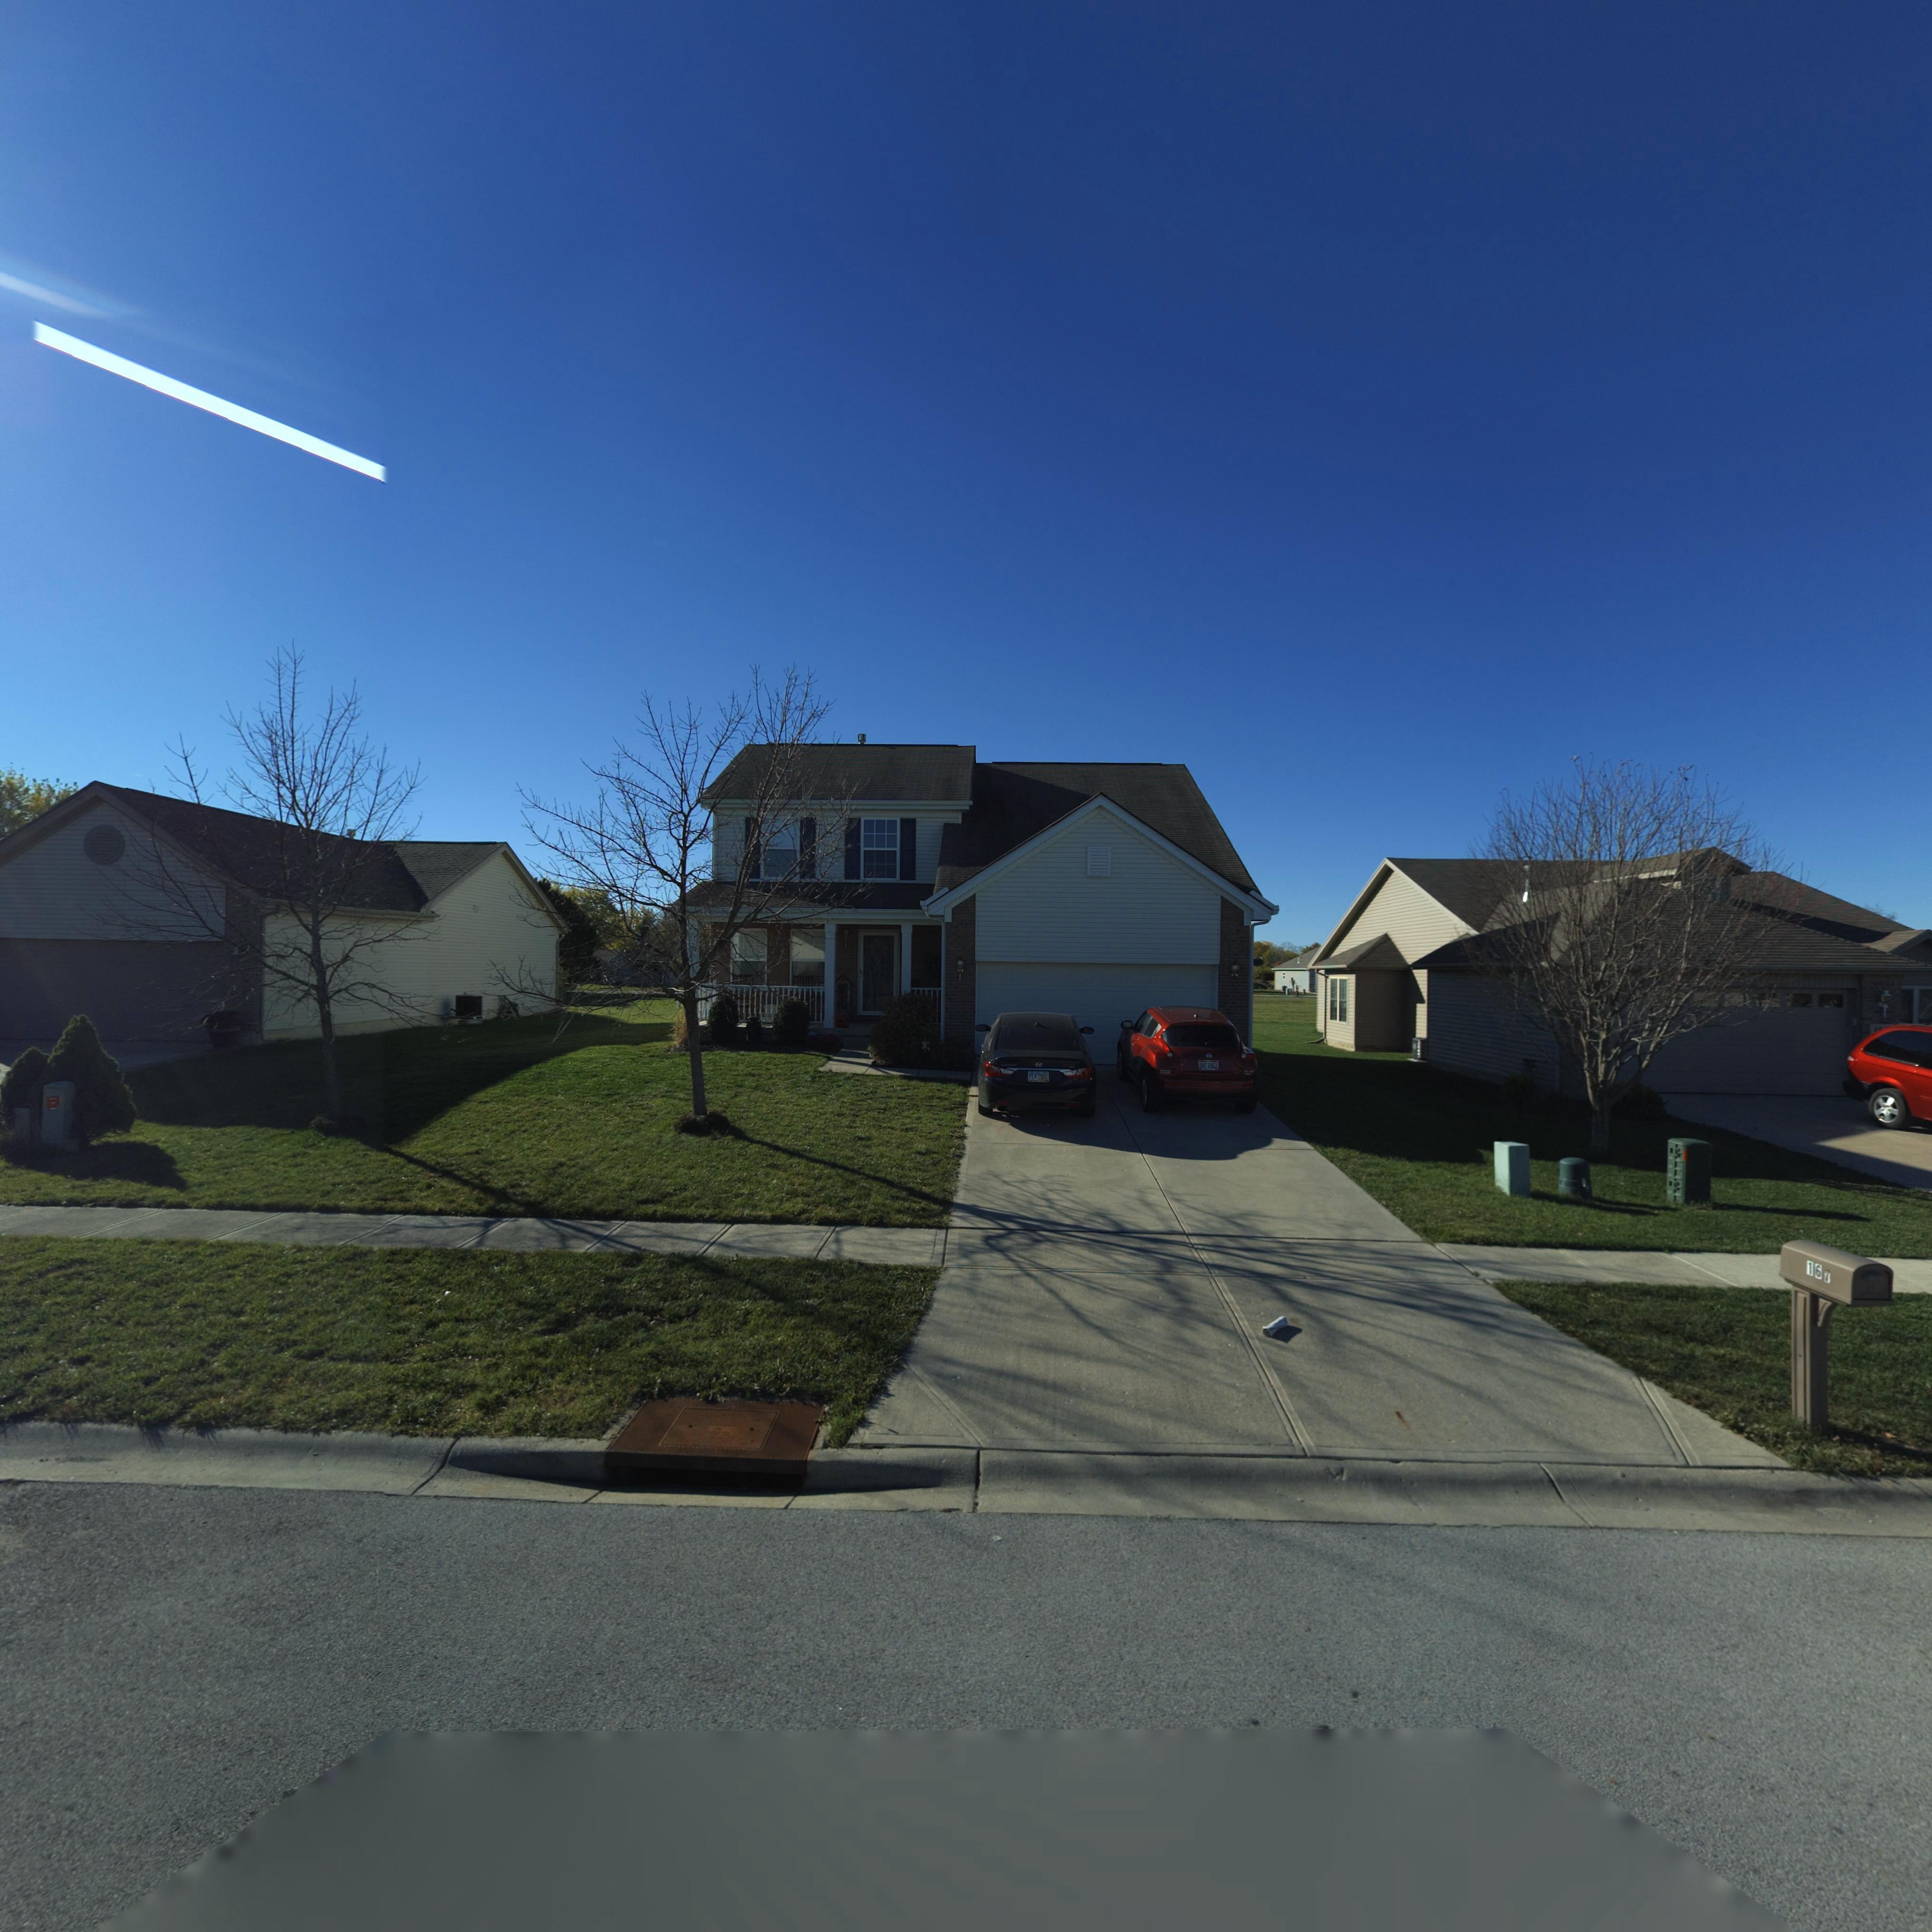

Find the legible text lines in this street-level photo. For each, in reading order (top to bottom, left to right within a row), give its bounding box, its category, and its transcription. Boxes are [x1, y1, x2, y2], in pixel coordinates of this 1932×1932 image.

[1807, 1260, 1832, 1283] StreetNumber: 167